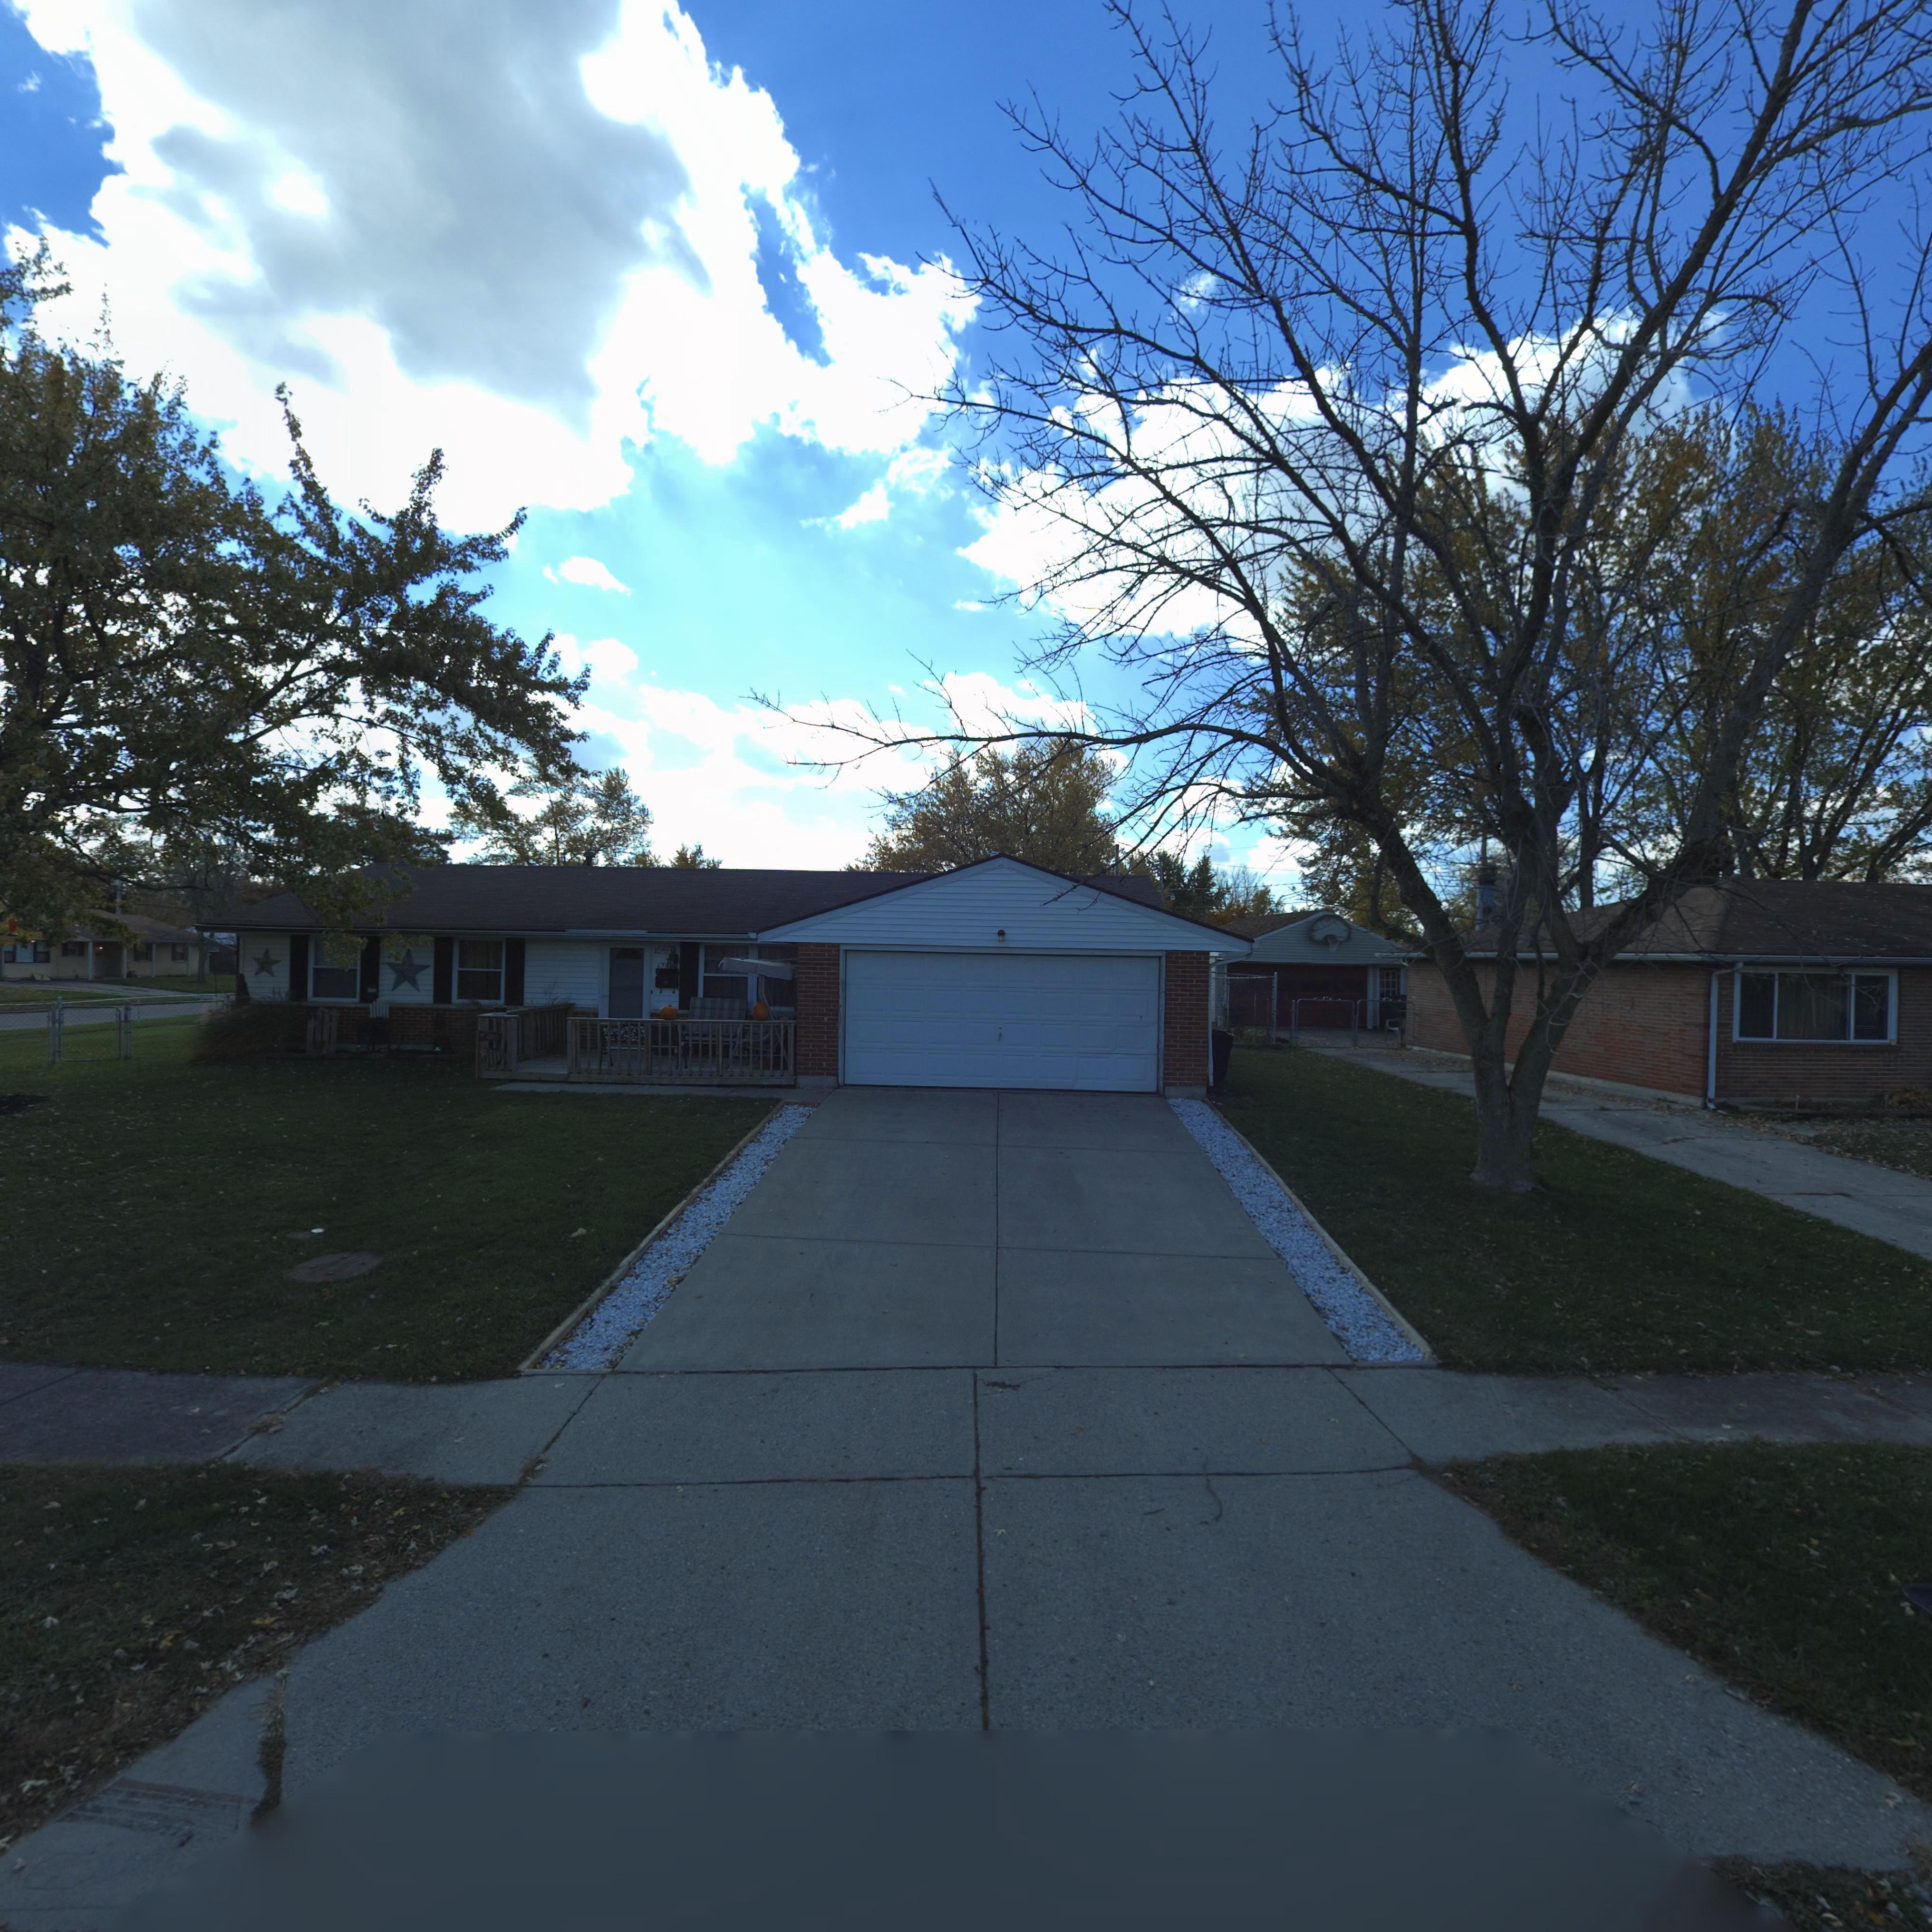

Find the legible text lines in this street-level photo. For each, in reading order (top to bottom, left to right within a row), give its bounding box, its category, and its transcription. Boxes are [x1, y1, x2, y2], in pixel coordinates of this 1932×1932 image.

[656, 963, 669, 969] StreetNumber: 678